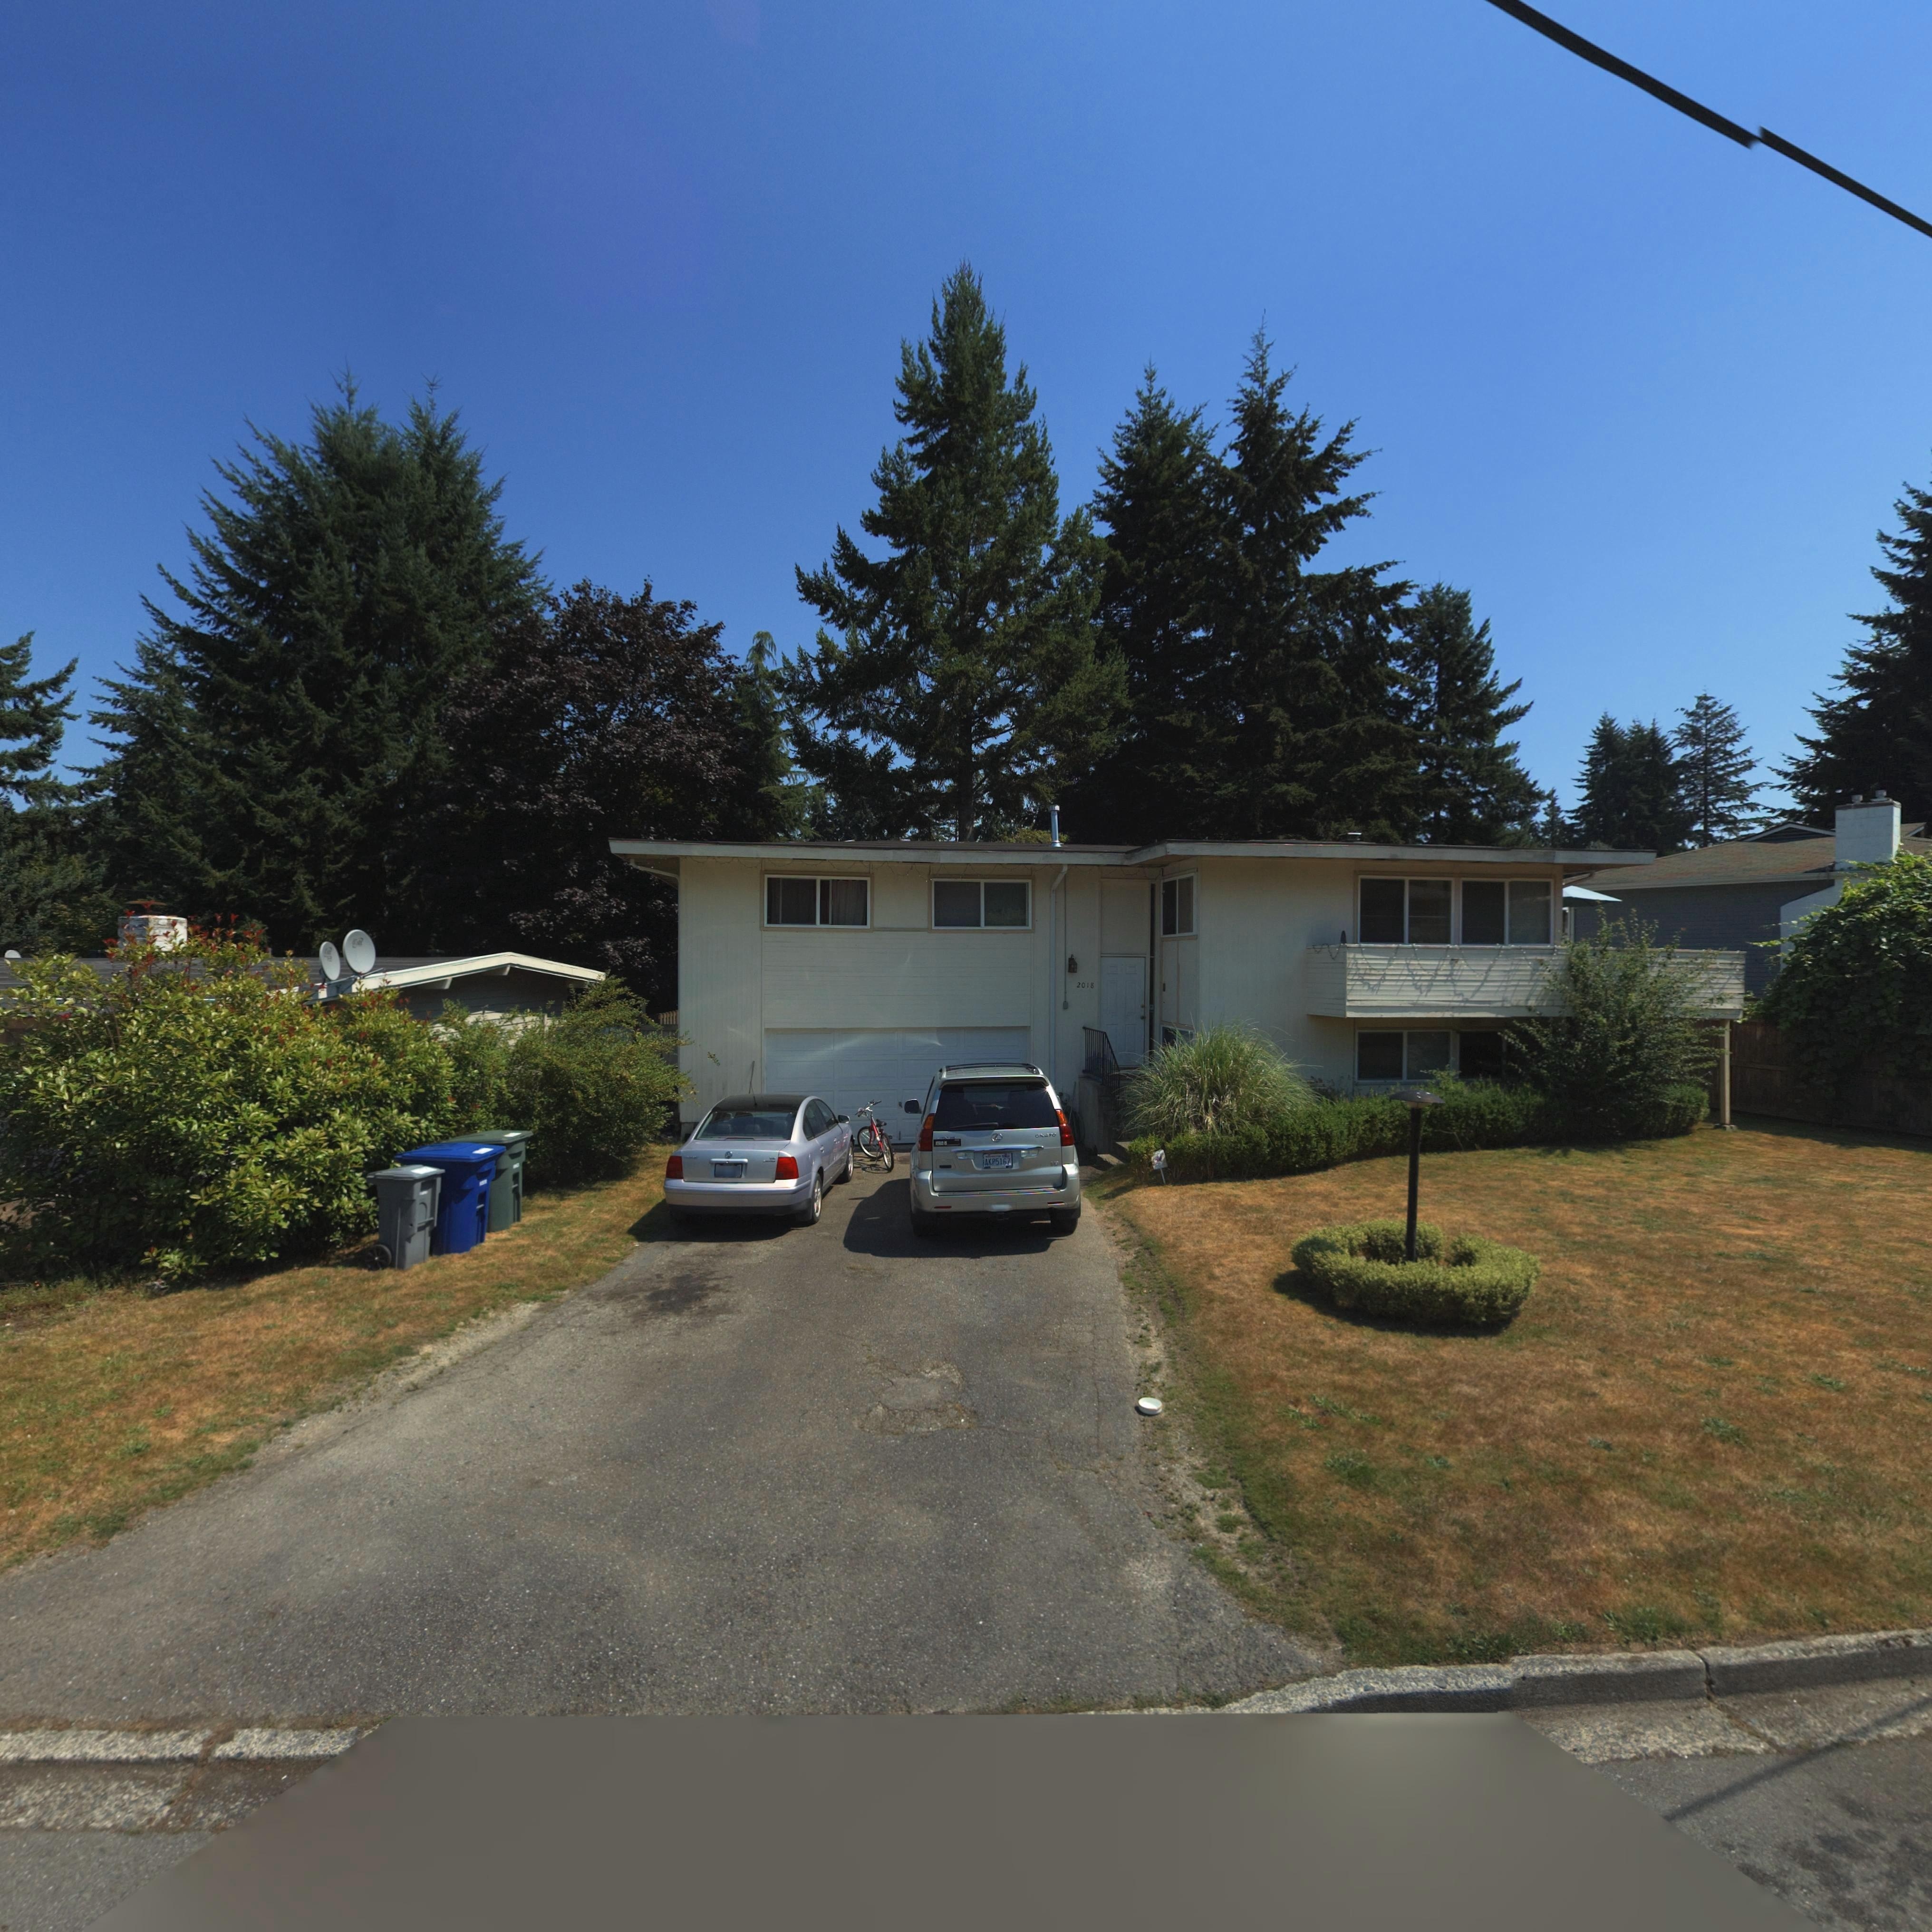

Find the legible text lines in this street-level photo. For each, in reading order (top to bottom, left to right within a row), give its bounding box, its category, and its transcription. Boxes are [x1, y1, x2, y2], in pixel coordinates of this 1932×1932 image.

[1077, 981, 1094, 989] StreetNumber: 2018